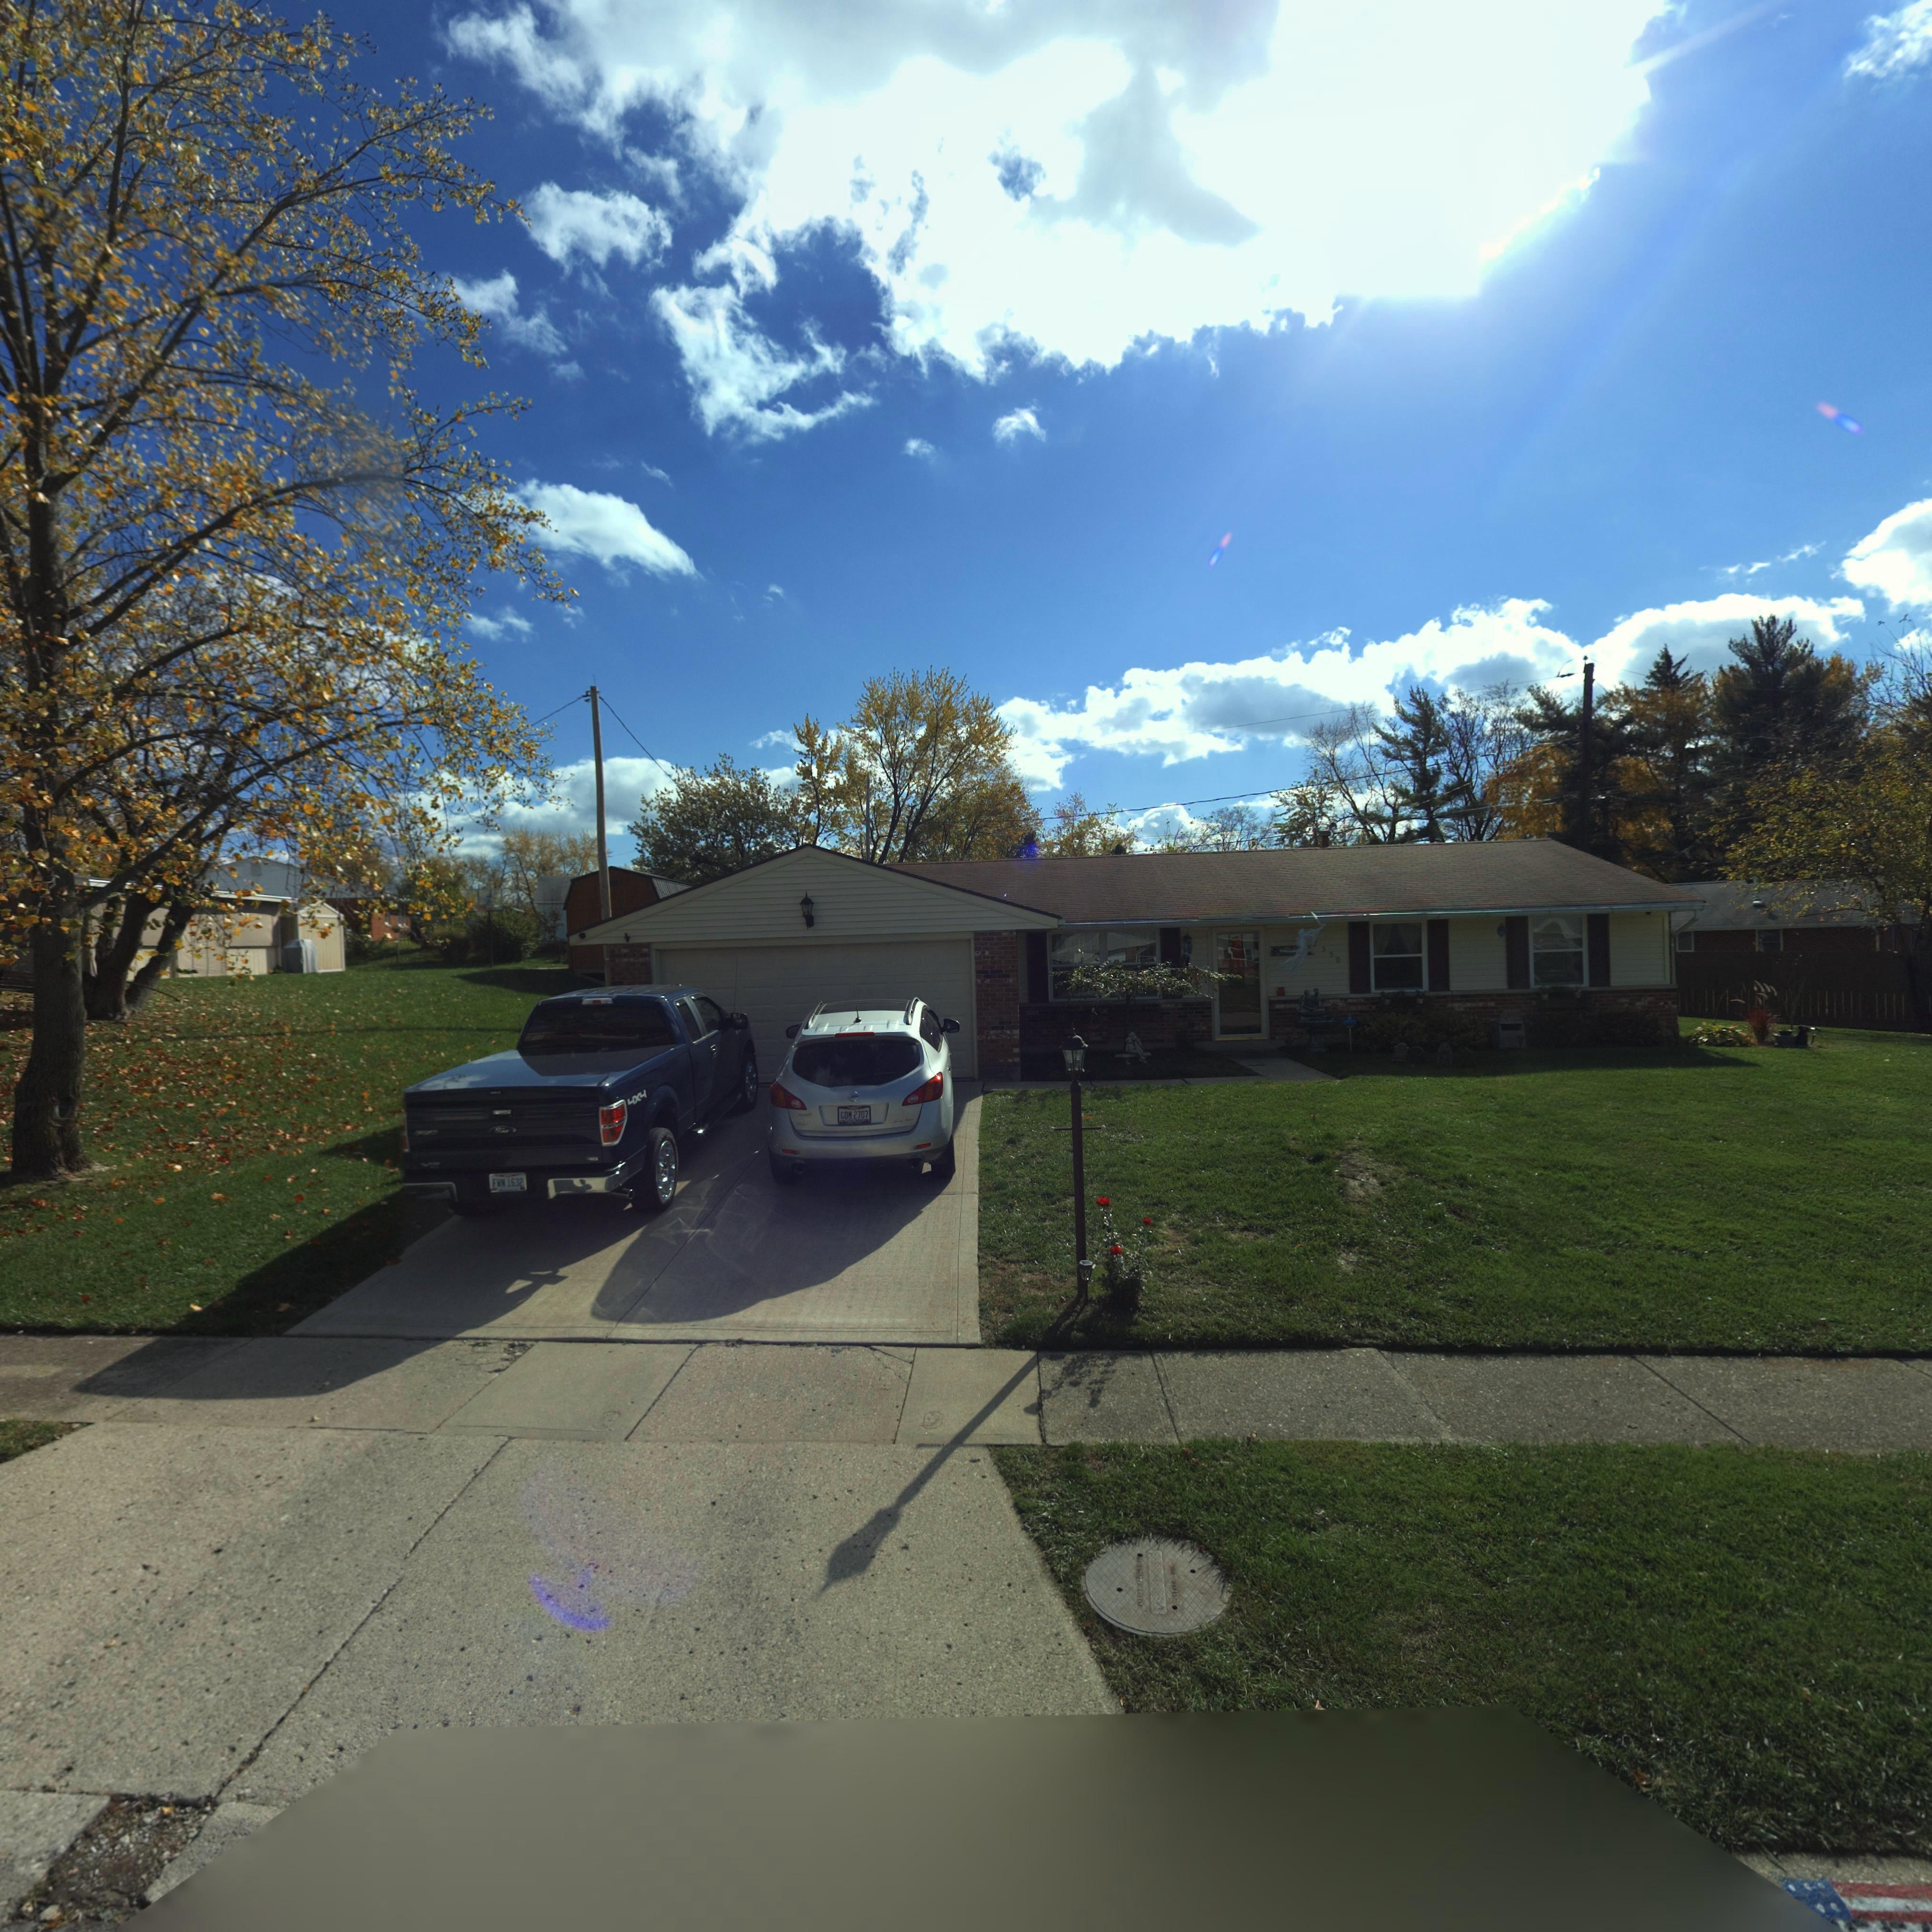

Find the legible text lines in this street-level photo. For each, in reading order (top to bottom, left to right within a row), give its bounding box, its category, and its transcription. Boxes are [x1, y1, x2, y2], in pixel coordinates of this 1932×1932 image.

[1314, 940, 1341, 964] StreetNumber: 7550